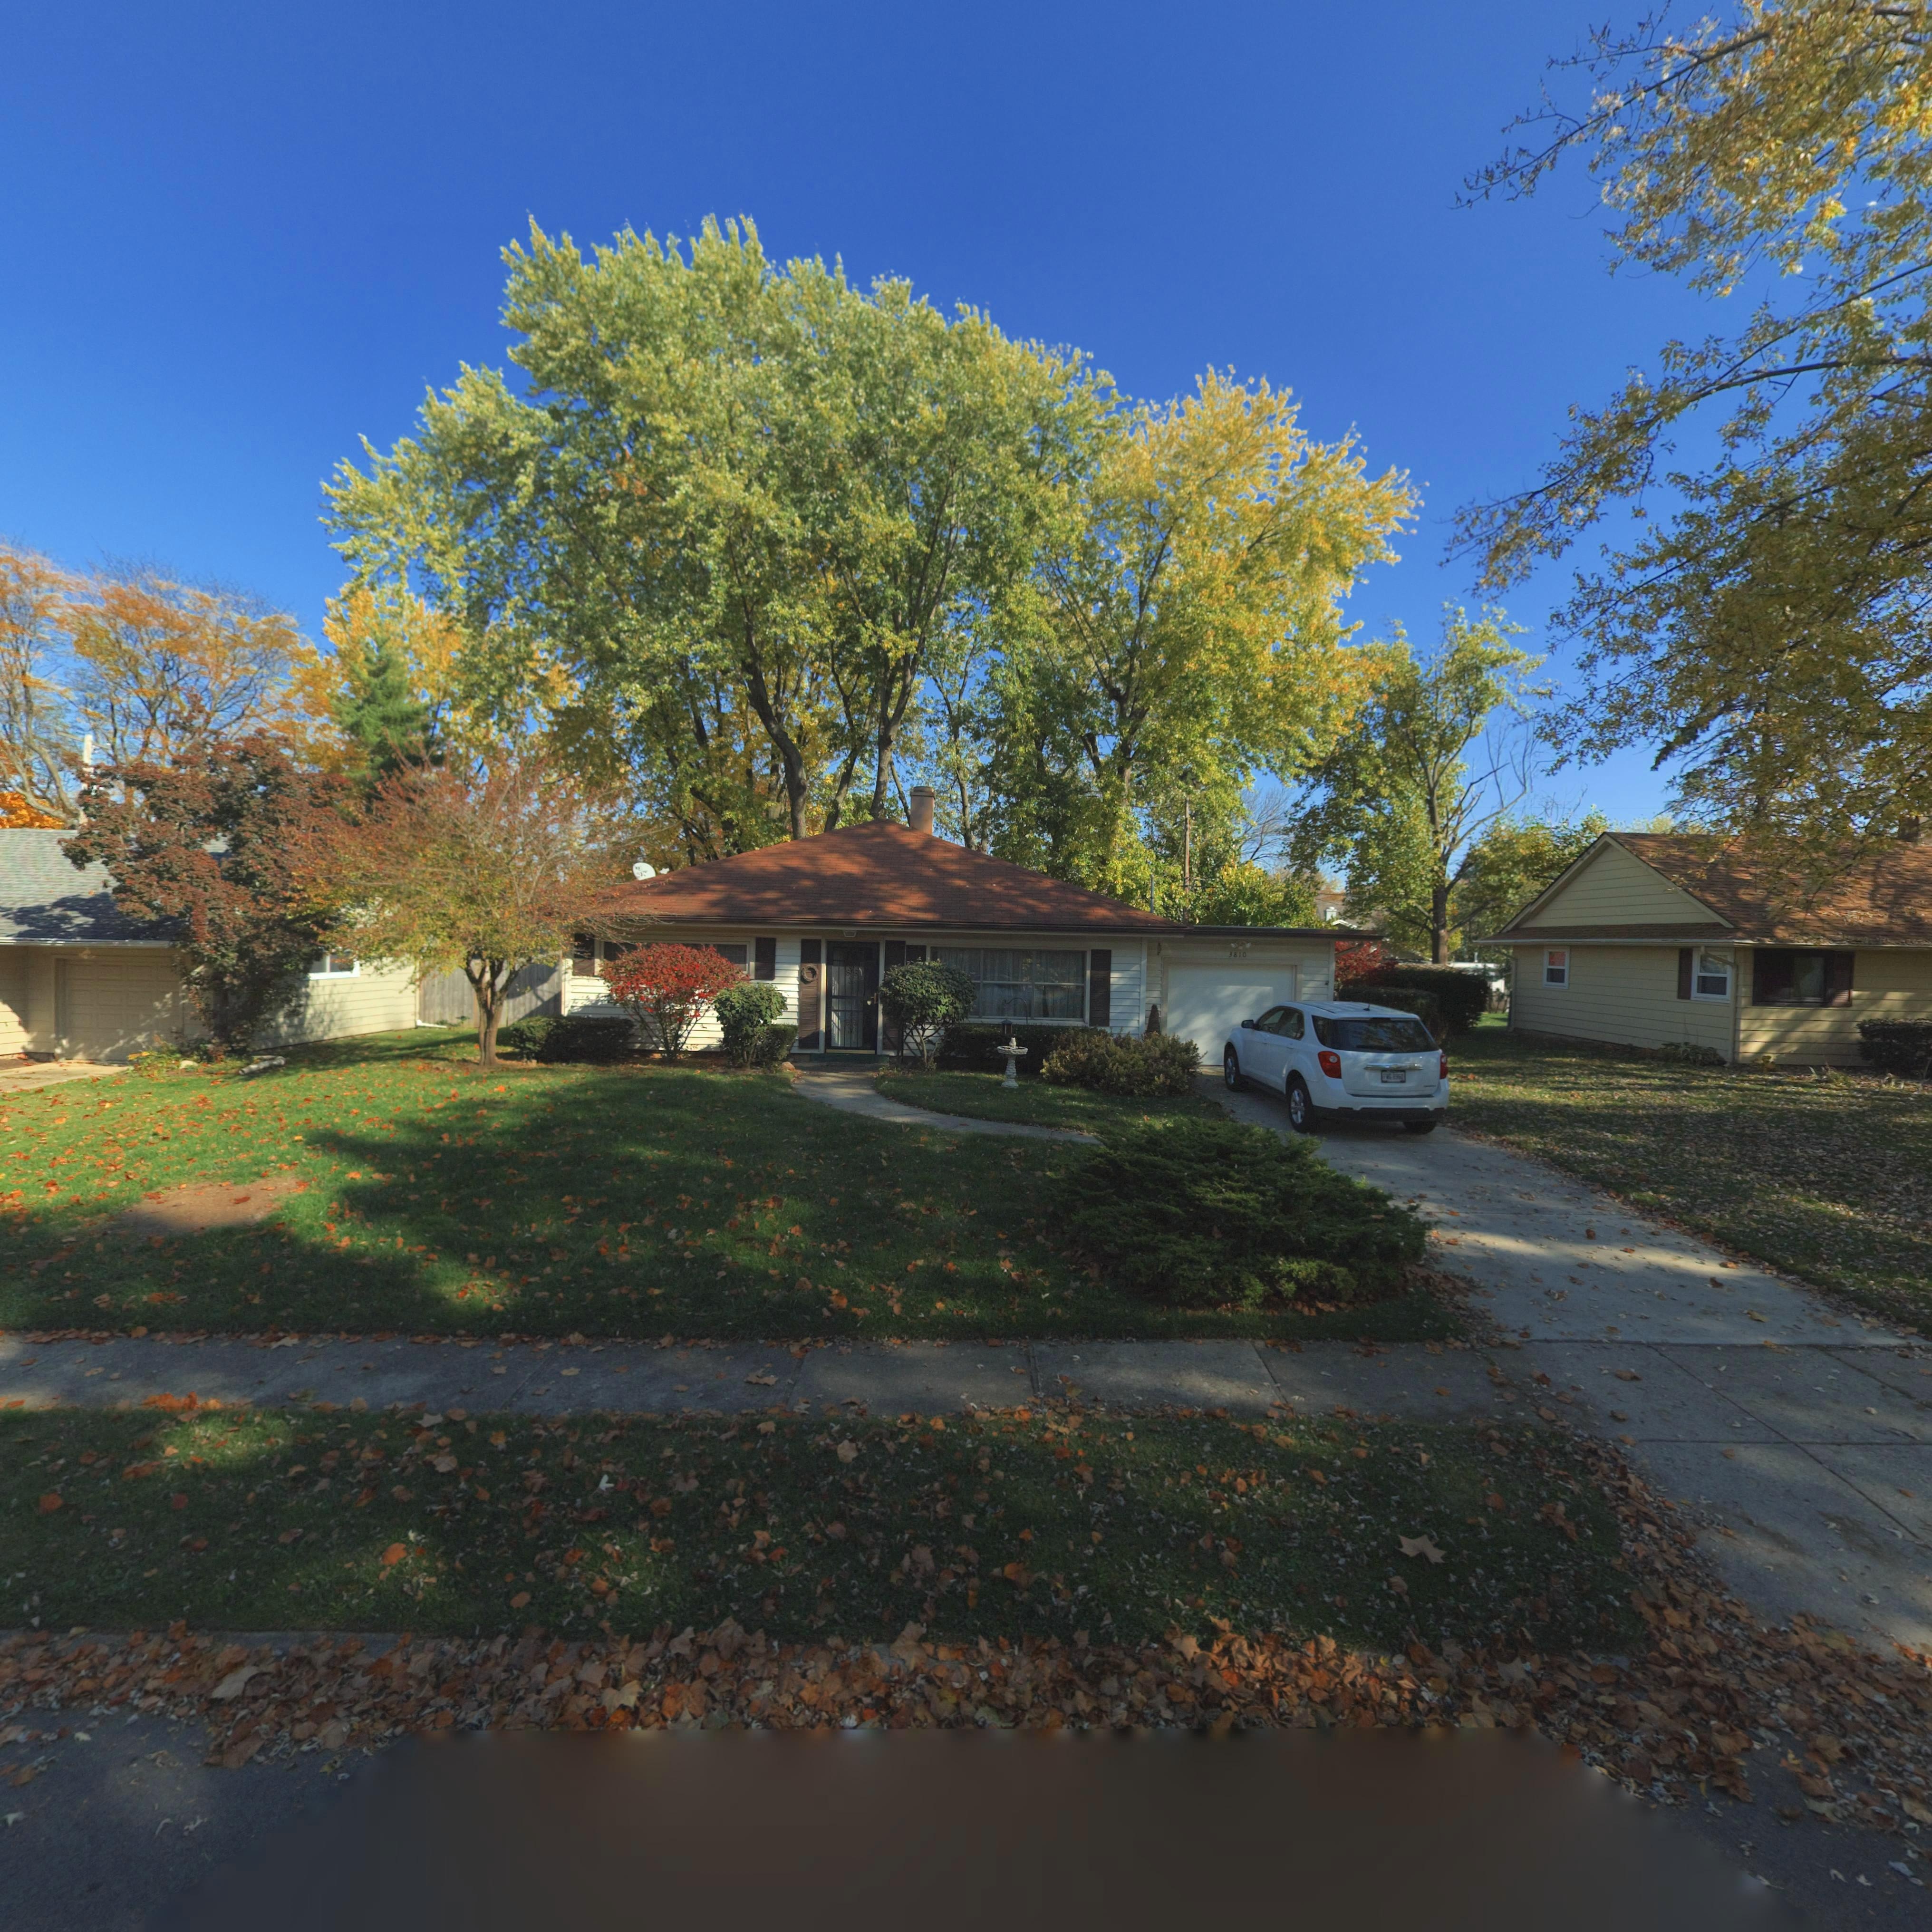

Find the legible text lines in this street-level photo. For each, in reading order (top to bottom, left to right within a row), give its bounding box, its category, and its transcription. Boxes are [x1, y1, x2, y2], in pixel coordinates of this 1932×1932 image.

[1227, 951, 1246, 957] StreetNumber: 3810
[1382, 1073, 1404, 1079] None: FWG 8960